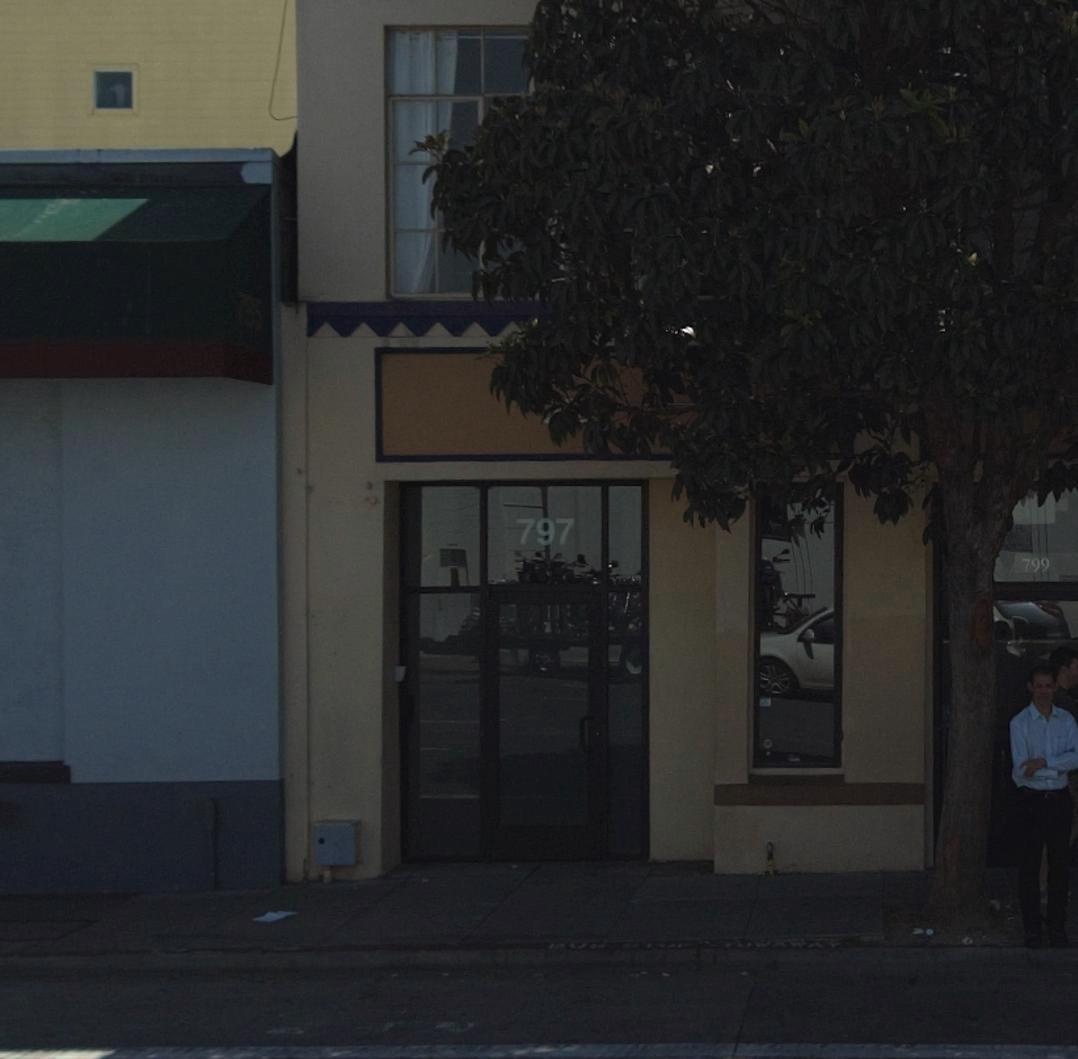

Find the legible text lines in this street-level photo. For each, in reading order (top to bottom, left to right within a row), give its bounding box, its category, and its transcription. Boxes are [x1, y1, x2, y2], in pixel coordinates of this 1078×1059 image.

[233, 288, 269, 335] StreetNumber: 7*5
[514, 517, 576, 547] StreetNumber: 797
[1020, 557, 1050, 574] StreetNumber: 799